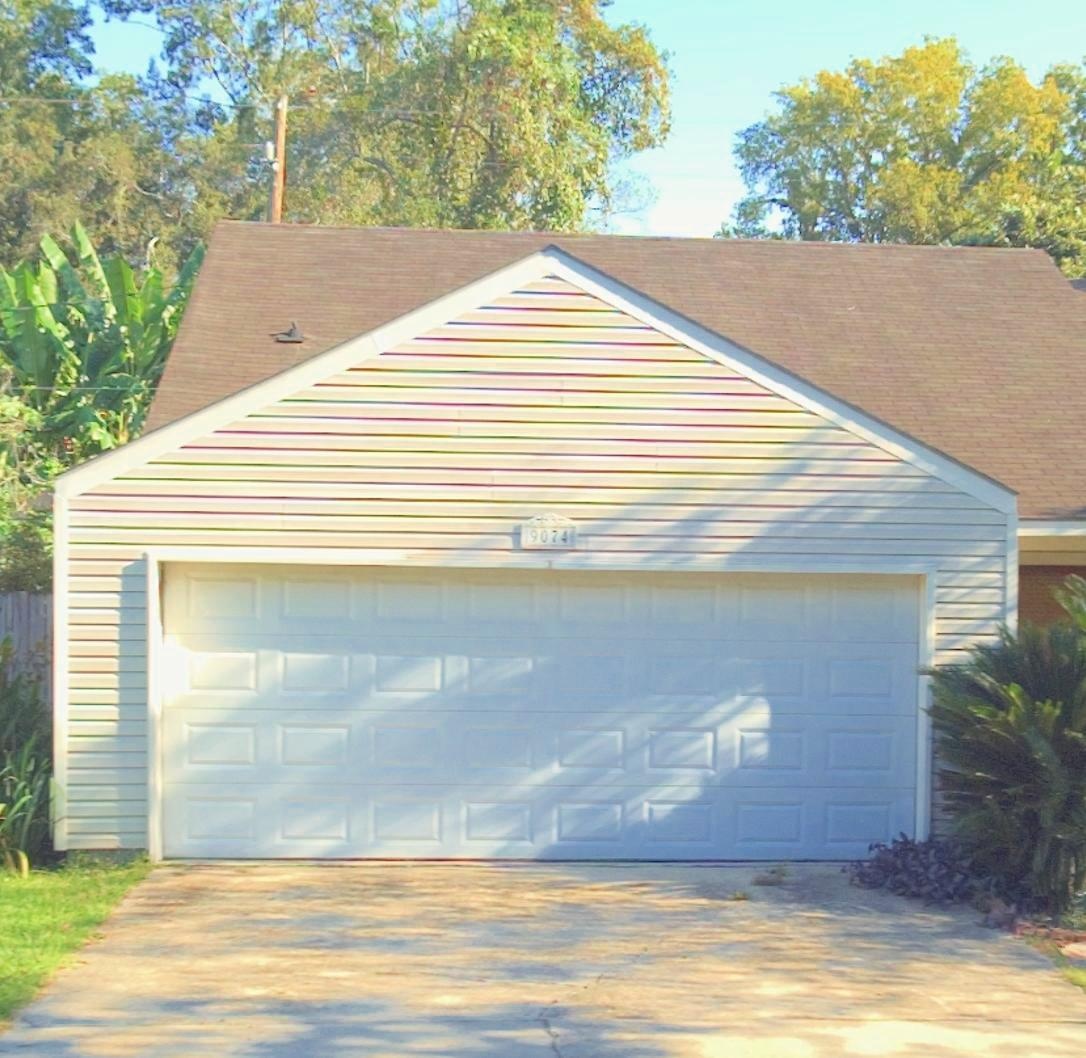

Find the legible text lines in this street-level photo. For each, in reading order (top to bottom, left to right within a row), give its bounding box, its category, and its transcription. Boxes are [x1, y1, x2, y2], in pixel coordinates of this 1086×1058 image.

[530, 528, 569, 544] StreetNumber: 9074